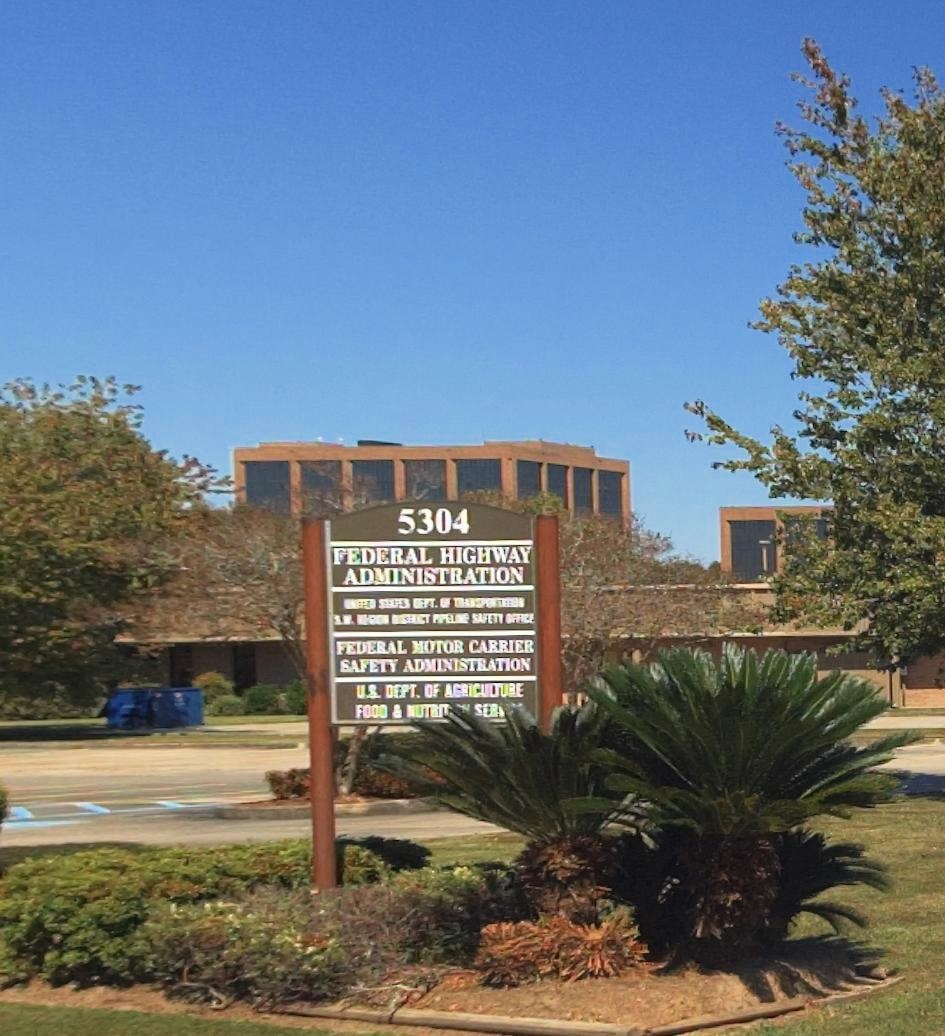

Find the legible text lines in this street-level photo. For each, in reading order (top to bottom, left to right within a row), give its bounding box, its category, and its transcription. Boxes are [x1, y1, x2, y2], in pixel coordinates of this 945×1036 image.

[395, 505, 473, 537] StreetNumber: 5304
[330, 543, 534, 568] BusinessName: FEDERAL HIGHWAY
[337, 563, 527, 590] BusinessName: ADMINISTRATION
[333, 636, 537, 658] BusinessName: FEDERAL MOTOR CARRIER
[337, 654, 535, 675] BusinessName: SAFETY ADMINISTRATION
[352, 680, 527, 702] BusinessName: U.S. DEPT. OF AGRICULTURE
[352, 701, 446, 721] BusinessName: FOOD & NUTRI
[472, 700, 502, 720] BusinessName: SER